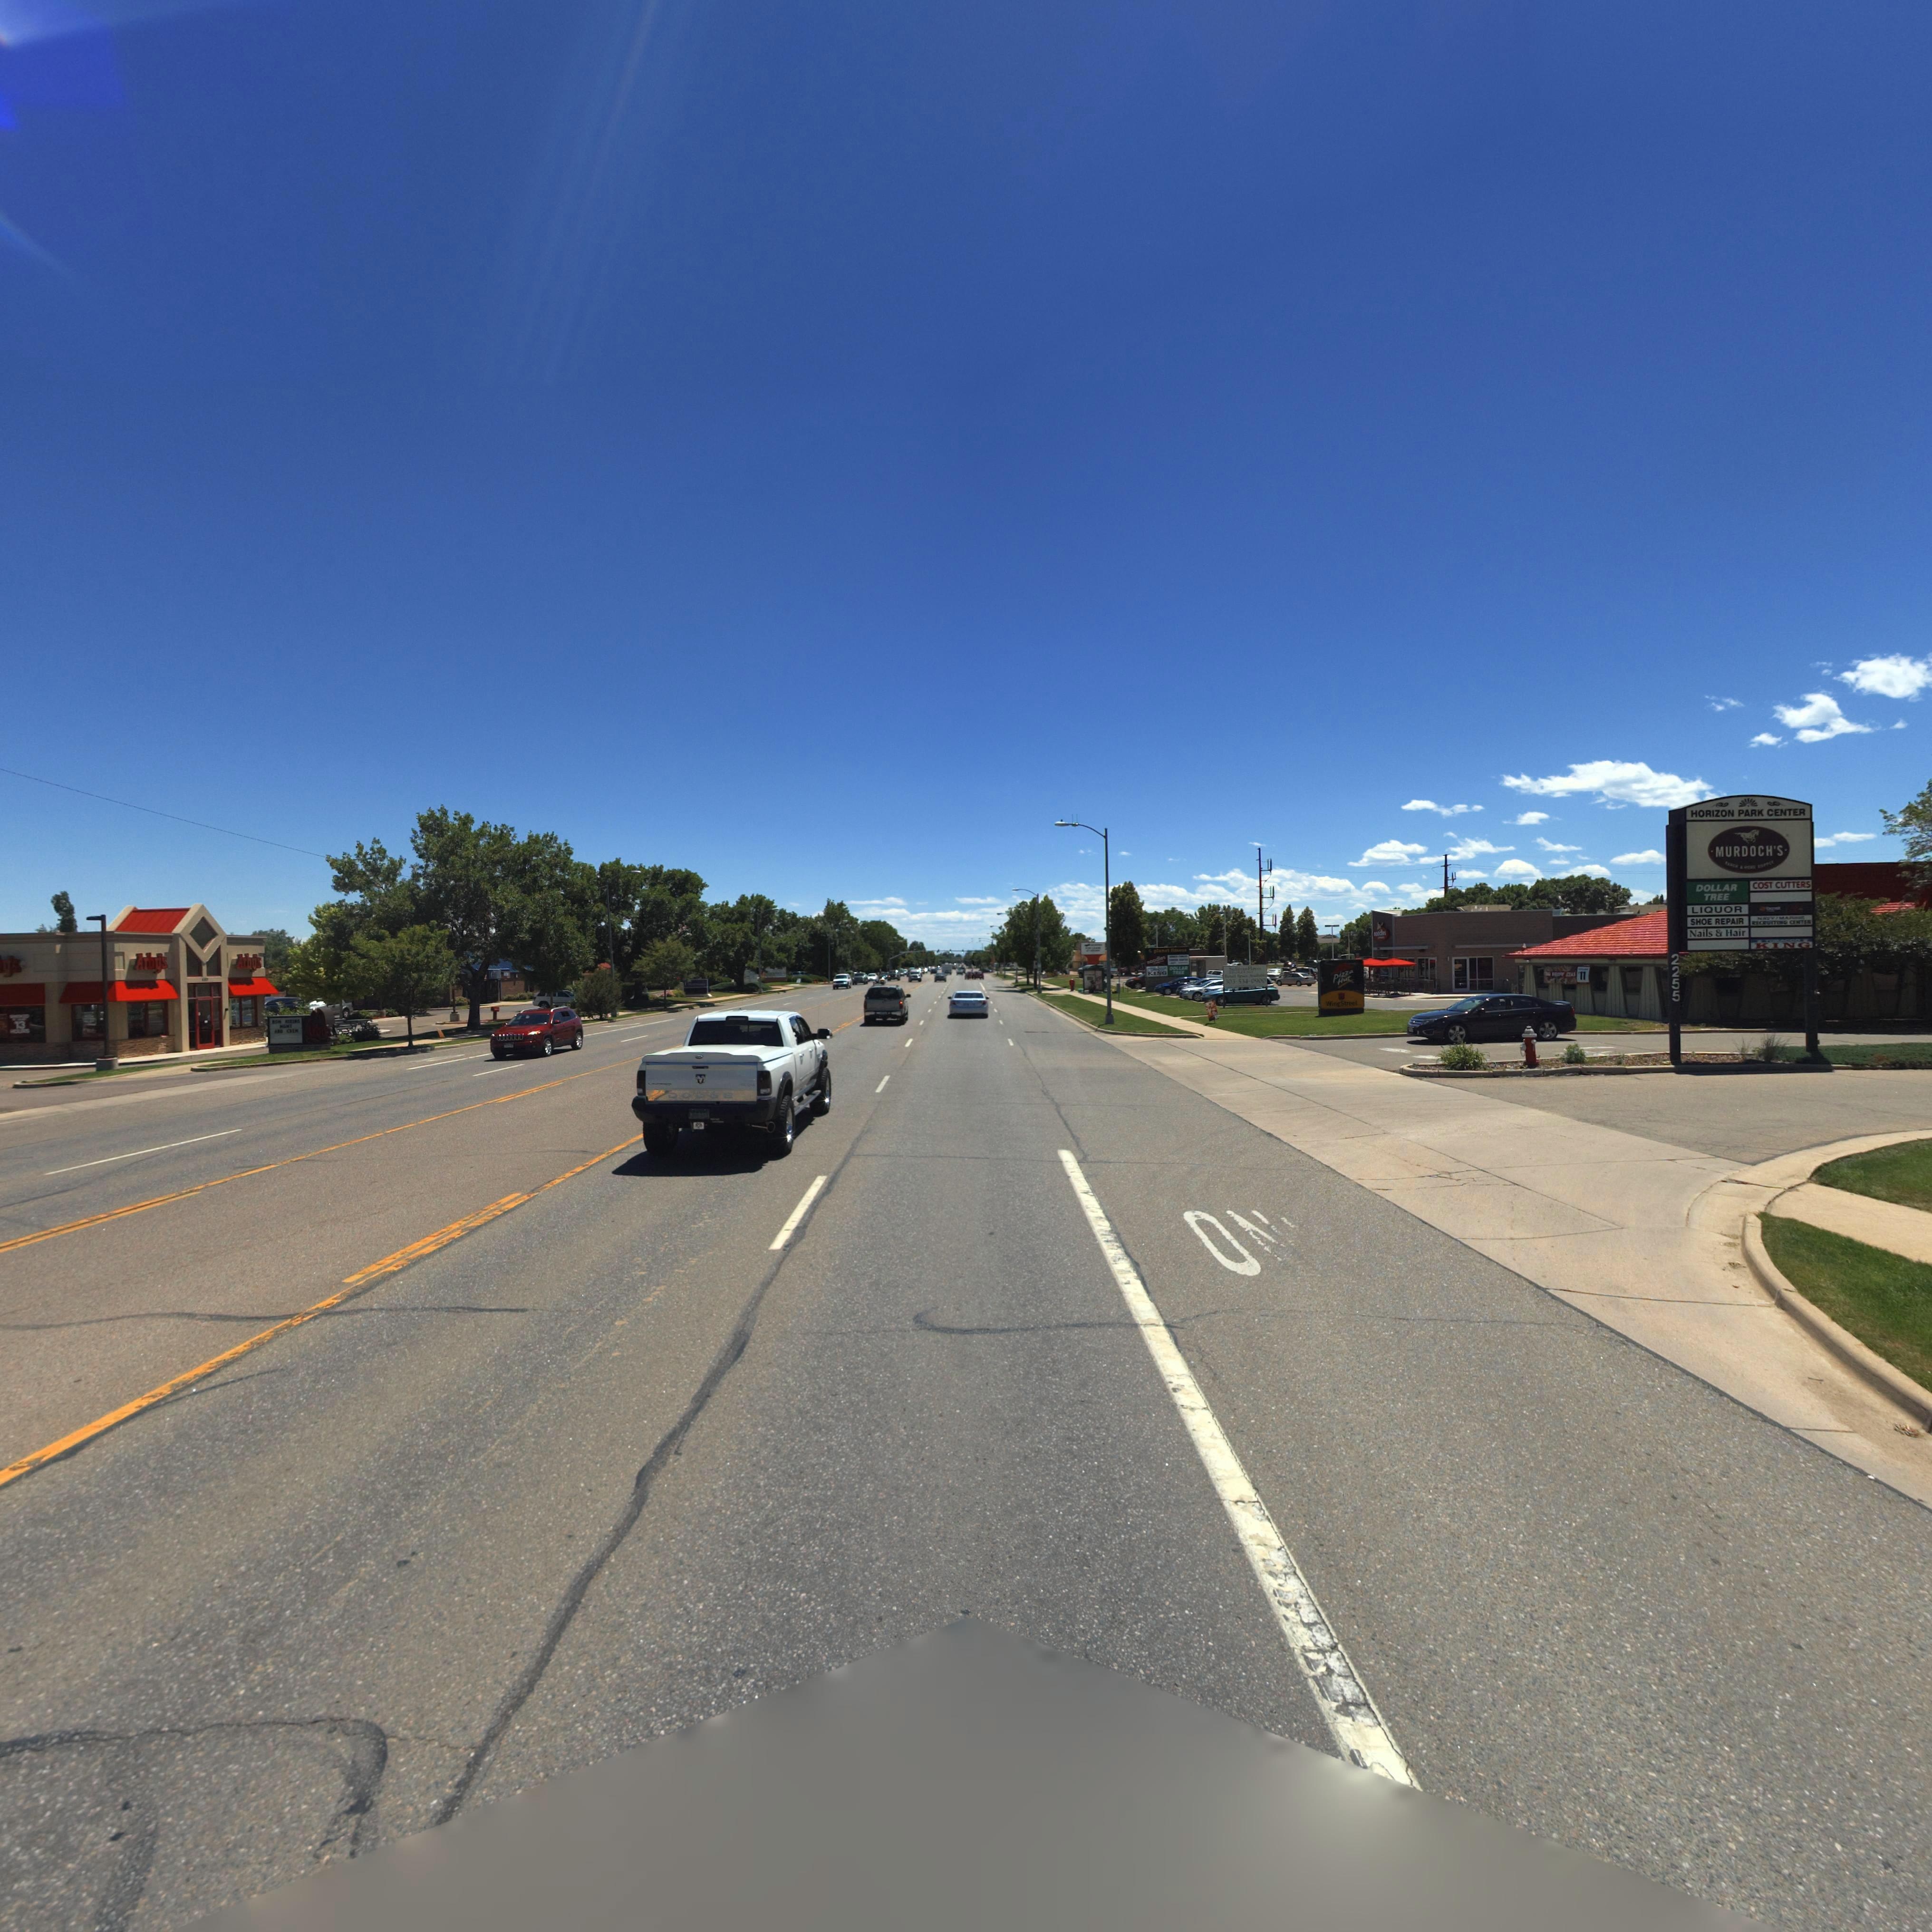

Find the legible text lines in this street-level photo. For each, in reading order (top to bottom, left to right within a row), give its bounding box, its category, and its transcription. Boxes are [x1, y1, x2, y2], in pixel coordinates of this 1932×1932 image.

[1716, 845, 1783, 857] BusinessName: MURDOCH'S
[1695, 884, 1737, 891] BusinessName: DOLLAR
[1753, 881, 1810, 889] BusinessName: COST CUTTERS
[1704, 893, 1729, 900] BusinessName: TREE
[1752, 919, 1811, 925] BusinessName: ******T*** C*N***
[1373, 928, 1386, 936] BusinessName: *ood***
[1756, 942, 1810, 948] BusinessName: KING
[1154, 948, 1187, 953] BusinessName: p***** *******
[2, 955, 20, 977] BusinessName: ys
[135, 953, 168, 974] BusinessName: Arbys
[236, 953, 261, 972] BusinessName: Arb*s
[1147, 955, 1166, 964] BusinessName: *ood***
[1169, 966, 1187, 970] BusinessName: DOLLAR
[1148, 971, 1167, 975] BusinessName: KING
[1172, 970, 1184, 974] BusinessName: TREE
[1333, 969, 1353, 984] BusinessName: pizza
[1337, 975, 1352, 985] BusinessName: Hu*
[1671, 953, 1680, 1002] StreetNumber: 2255
[1326, 1000, 1357, 1007] BusinessName: WingStree*